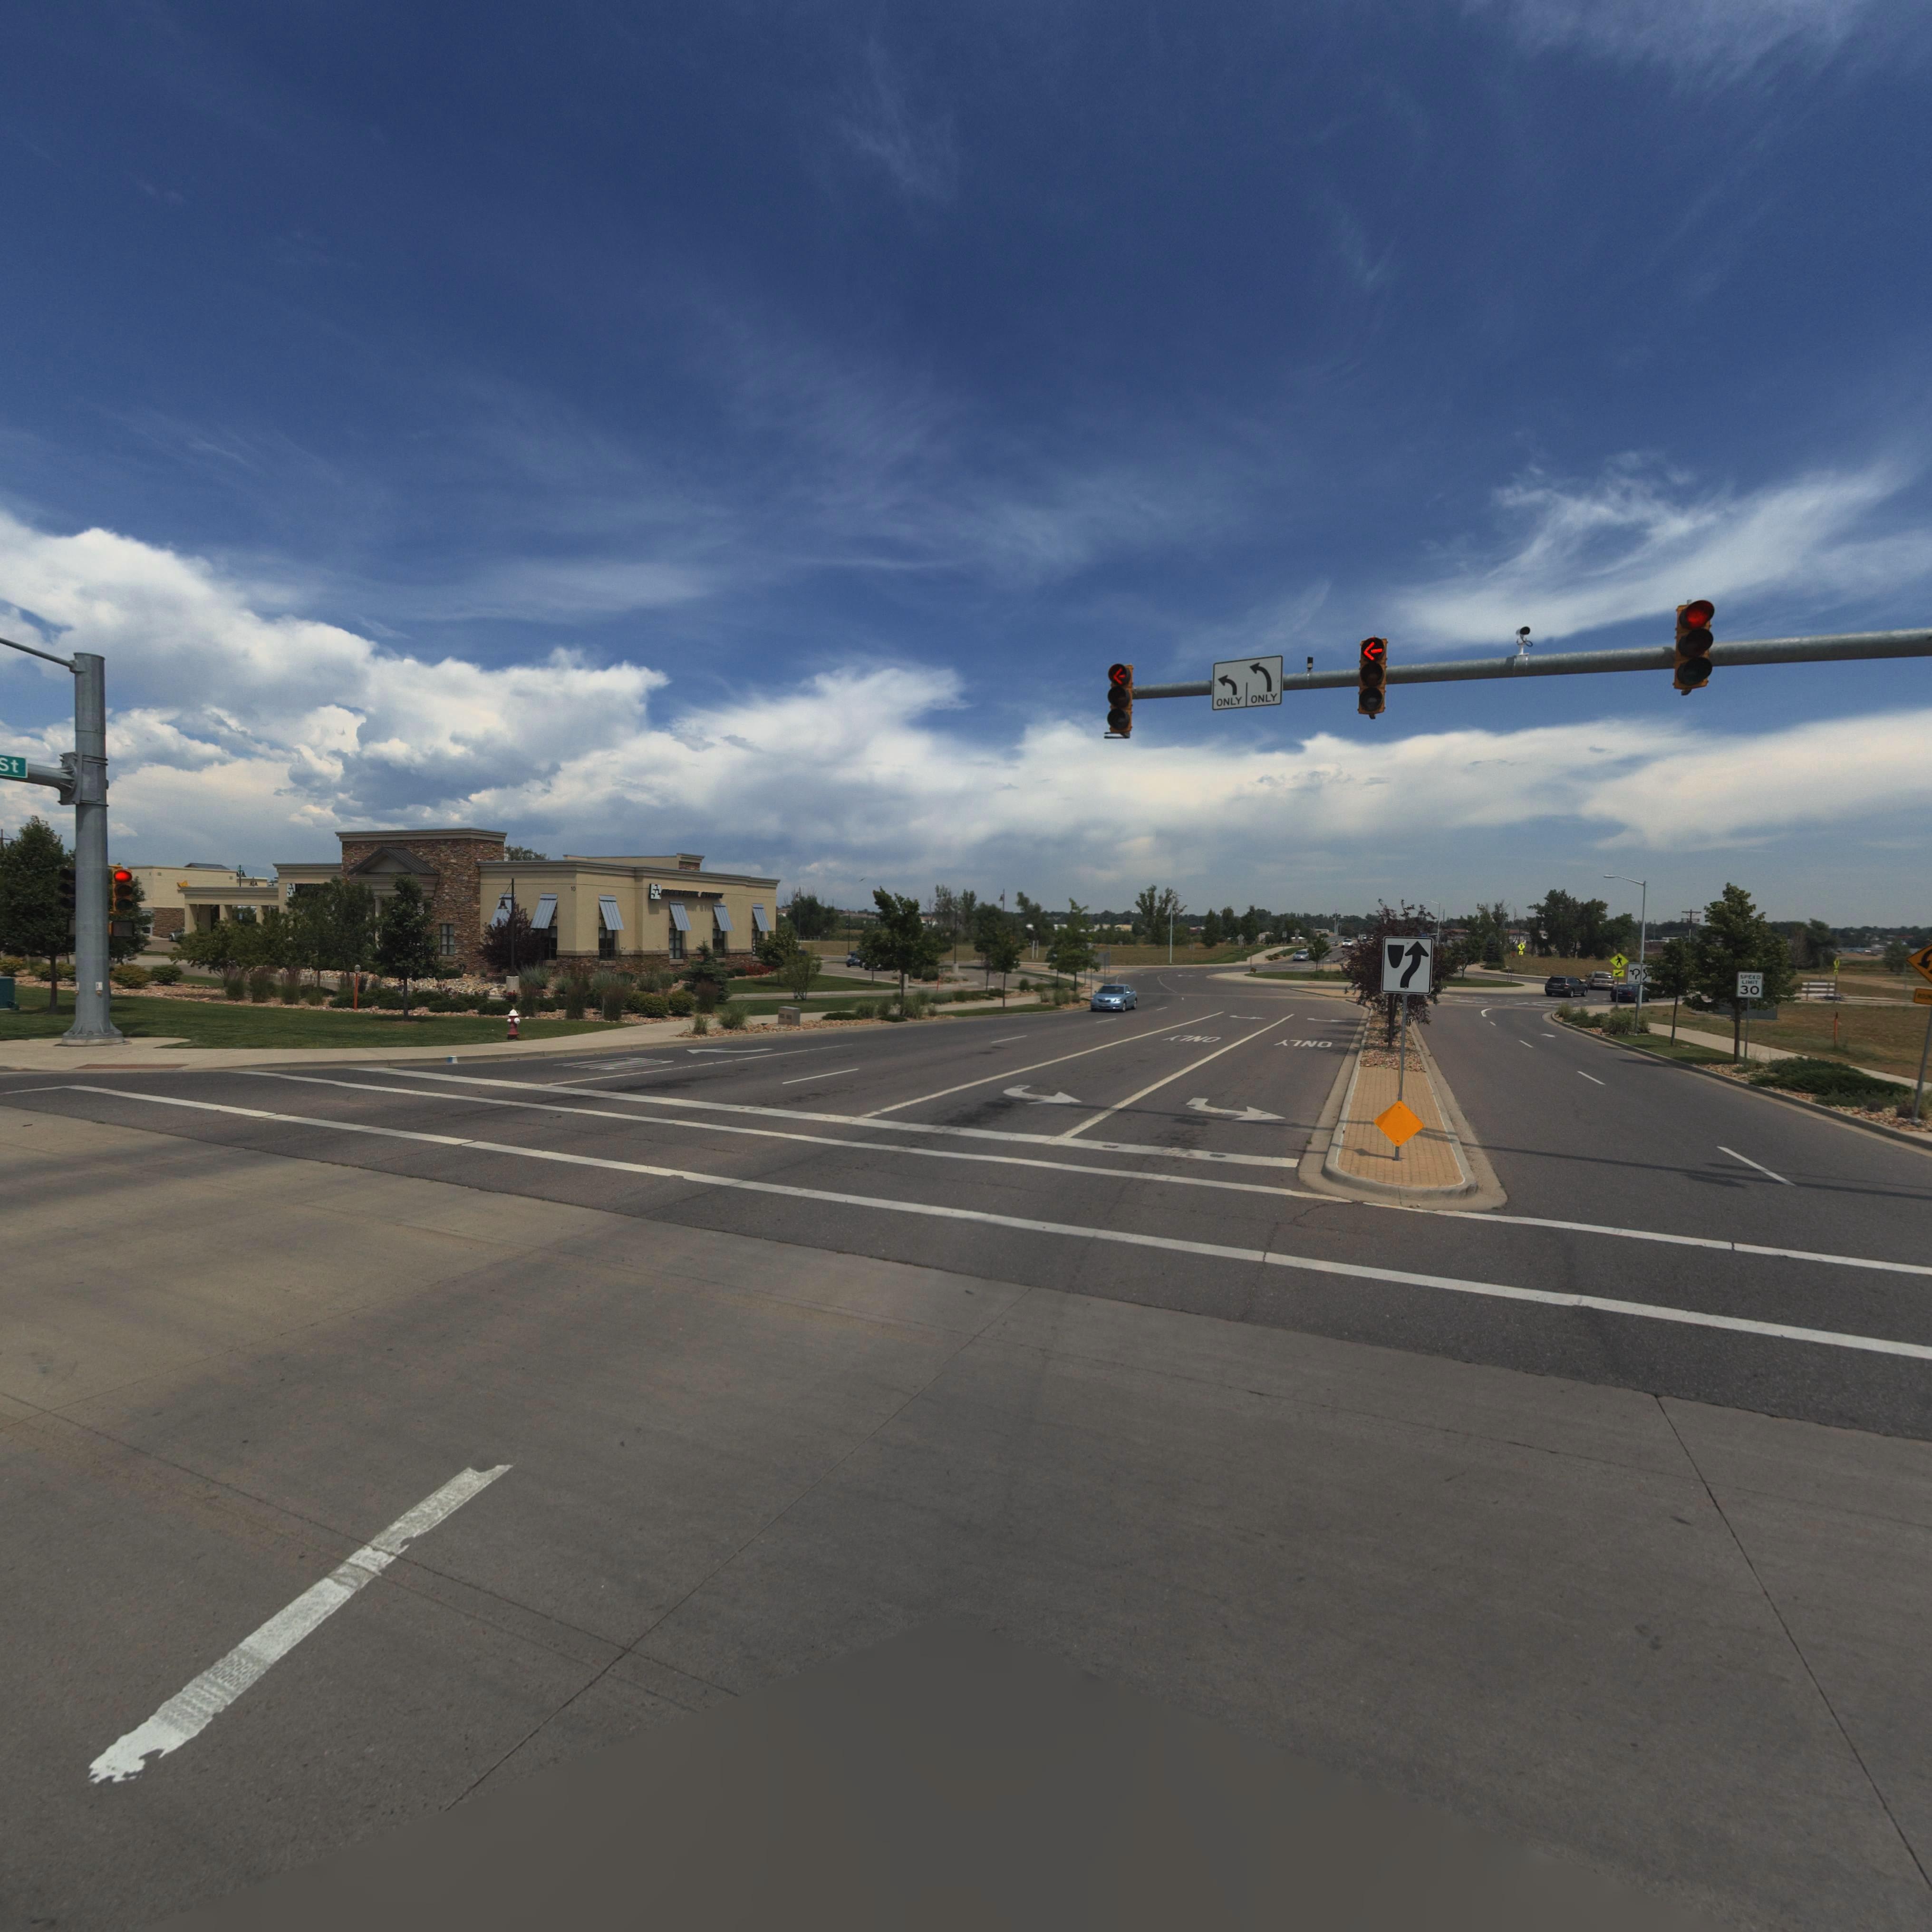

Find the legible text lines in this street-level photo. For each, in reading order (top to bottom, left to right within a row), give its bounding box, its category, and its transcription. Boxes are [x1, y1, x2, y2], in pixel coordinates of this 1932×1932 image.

[661, 889, 724, 898] BusinessName: ADAMS BANK & TRUST